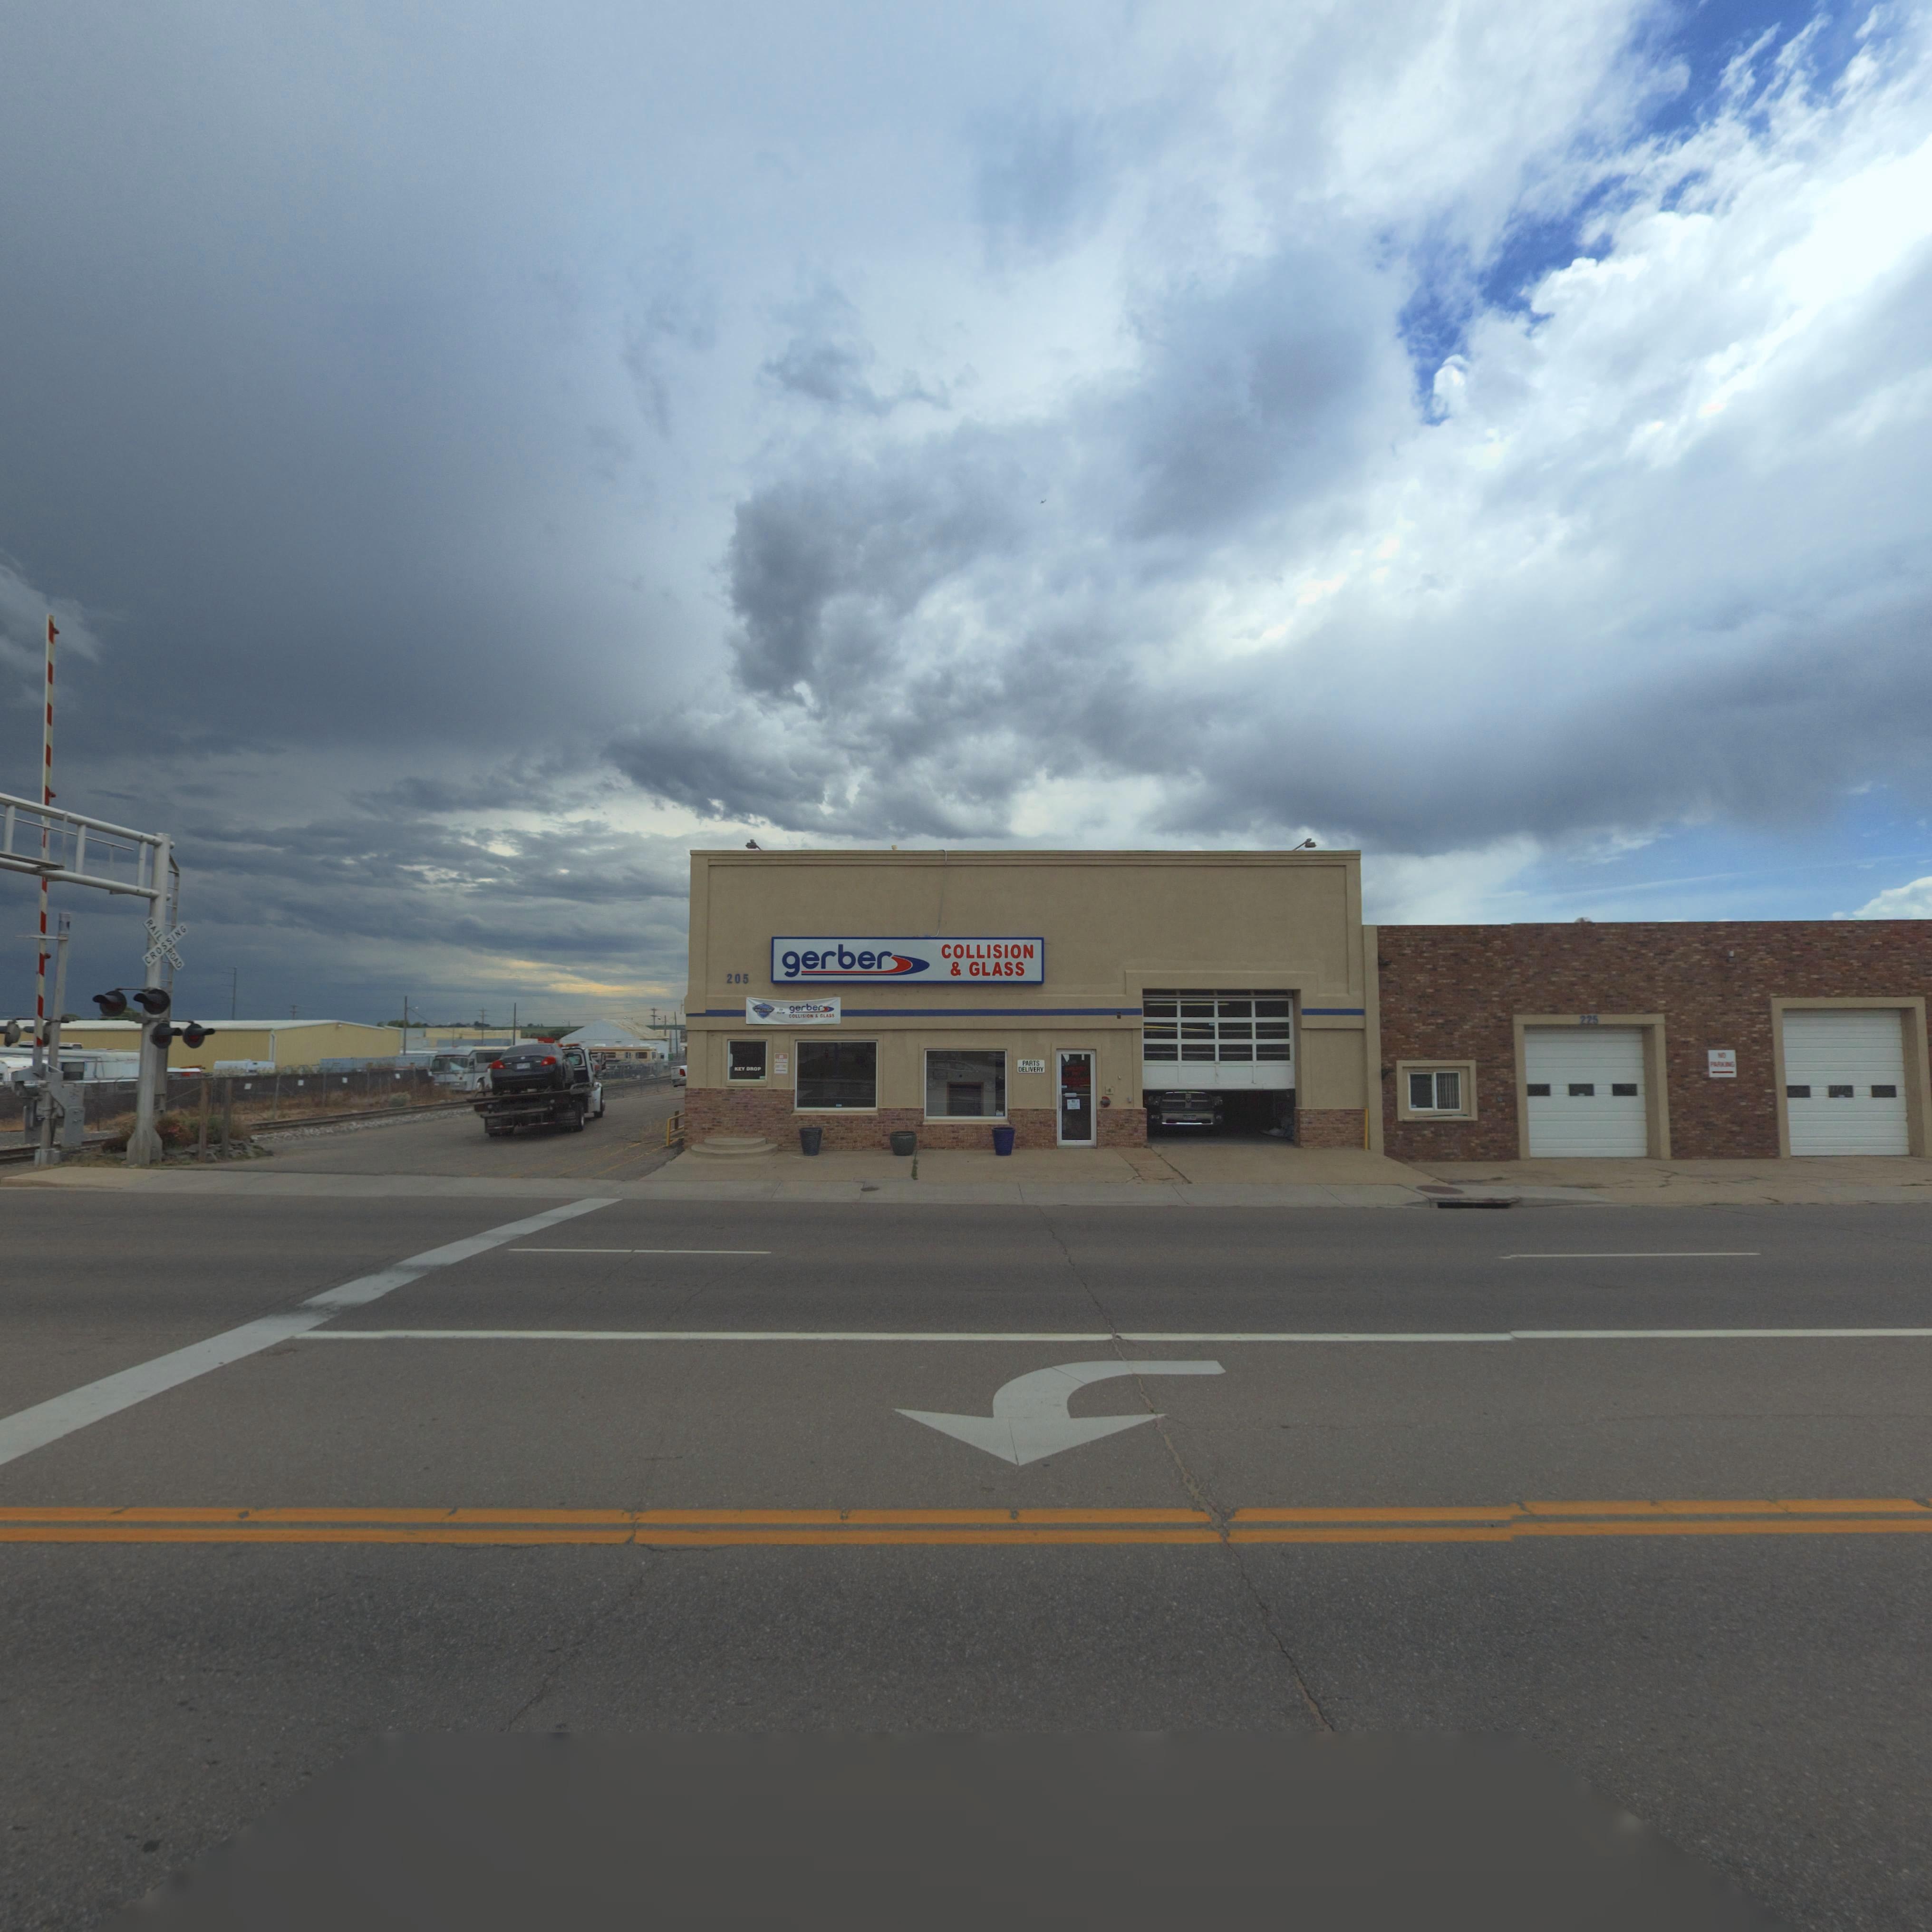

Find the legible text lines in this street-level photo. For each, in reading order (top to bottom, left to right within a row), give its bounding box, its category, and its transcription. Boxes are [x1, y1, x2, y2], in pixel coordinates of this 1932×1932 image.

[940, 943, 1034, 959] BusinessName: COLLISON
[781, 943, 892, 977] BusinessName: gerber
[949, 960, 1024, 976] BusinessName: * GLASS
[726, 973, 749, 984] StreetNumber: 205
[789, 1002, 823, 1014] BusinessName: gerber
[788, 1013, 834, 1018] BusinessName: COLLISION * GLASS
[1579, 1014, 1599, 1024] StreetNumber: 225